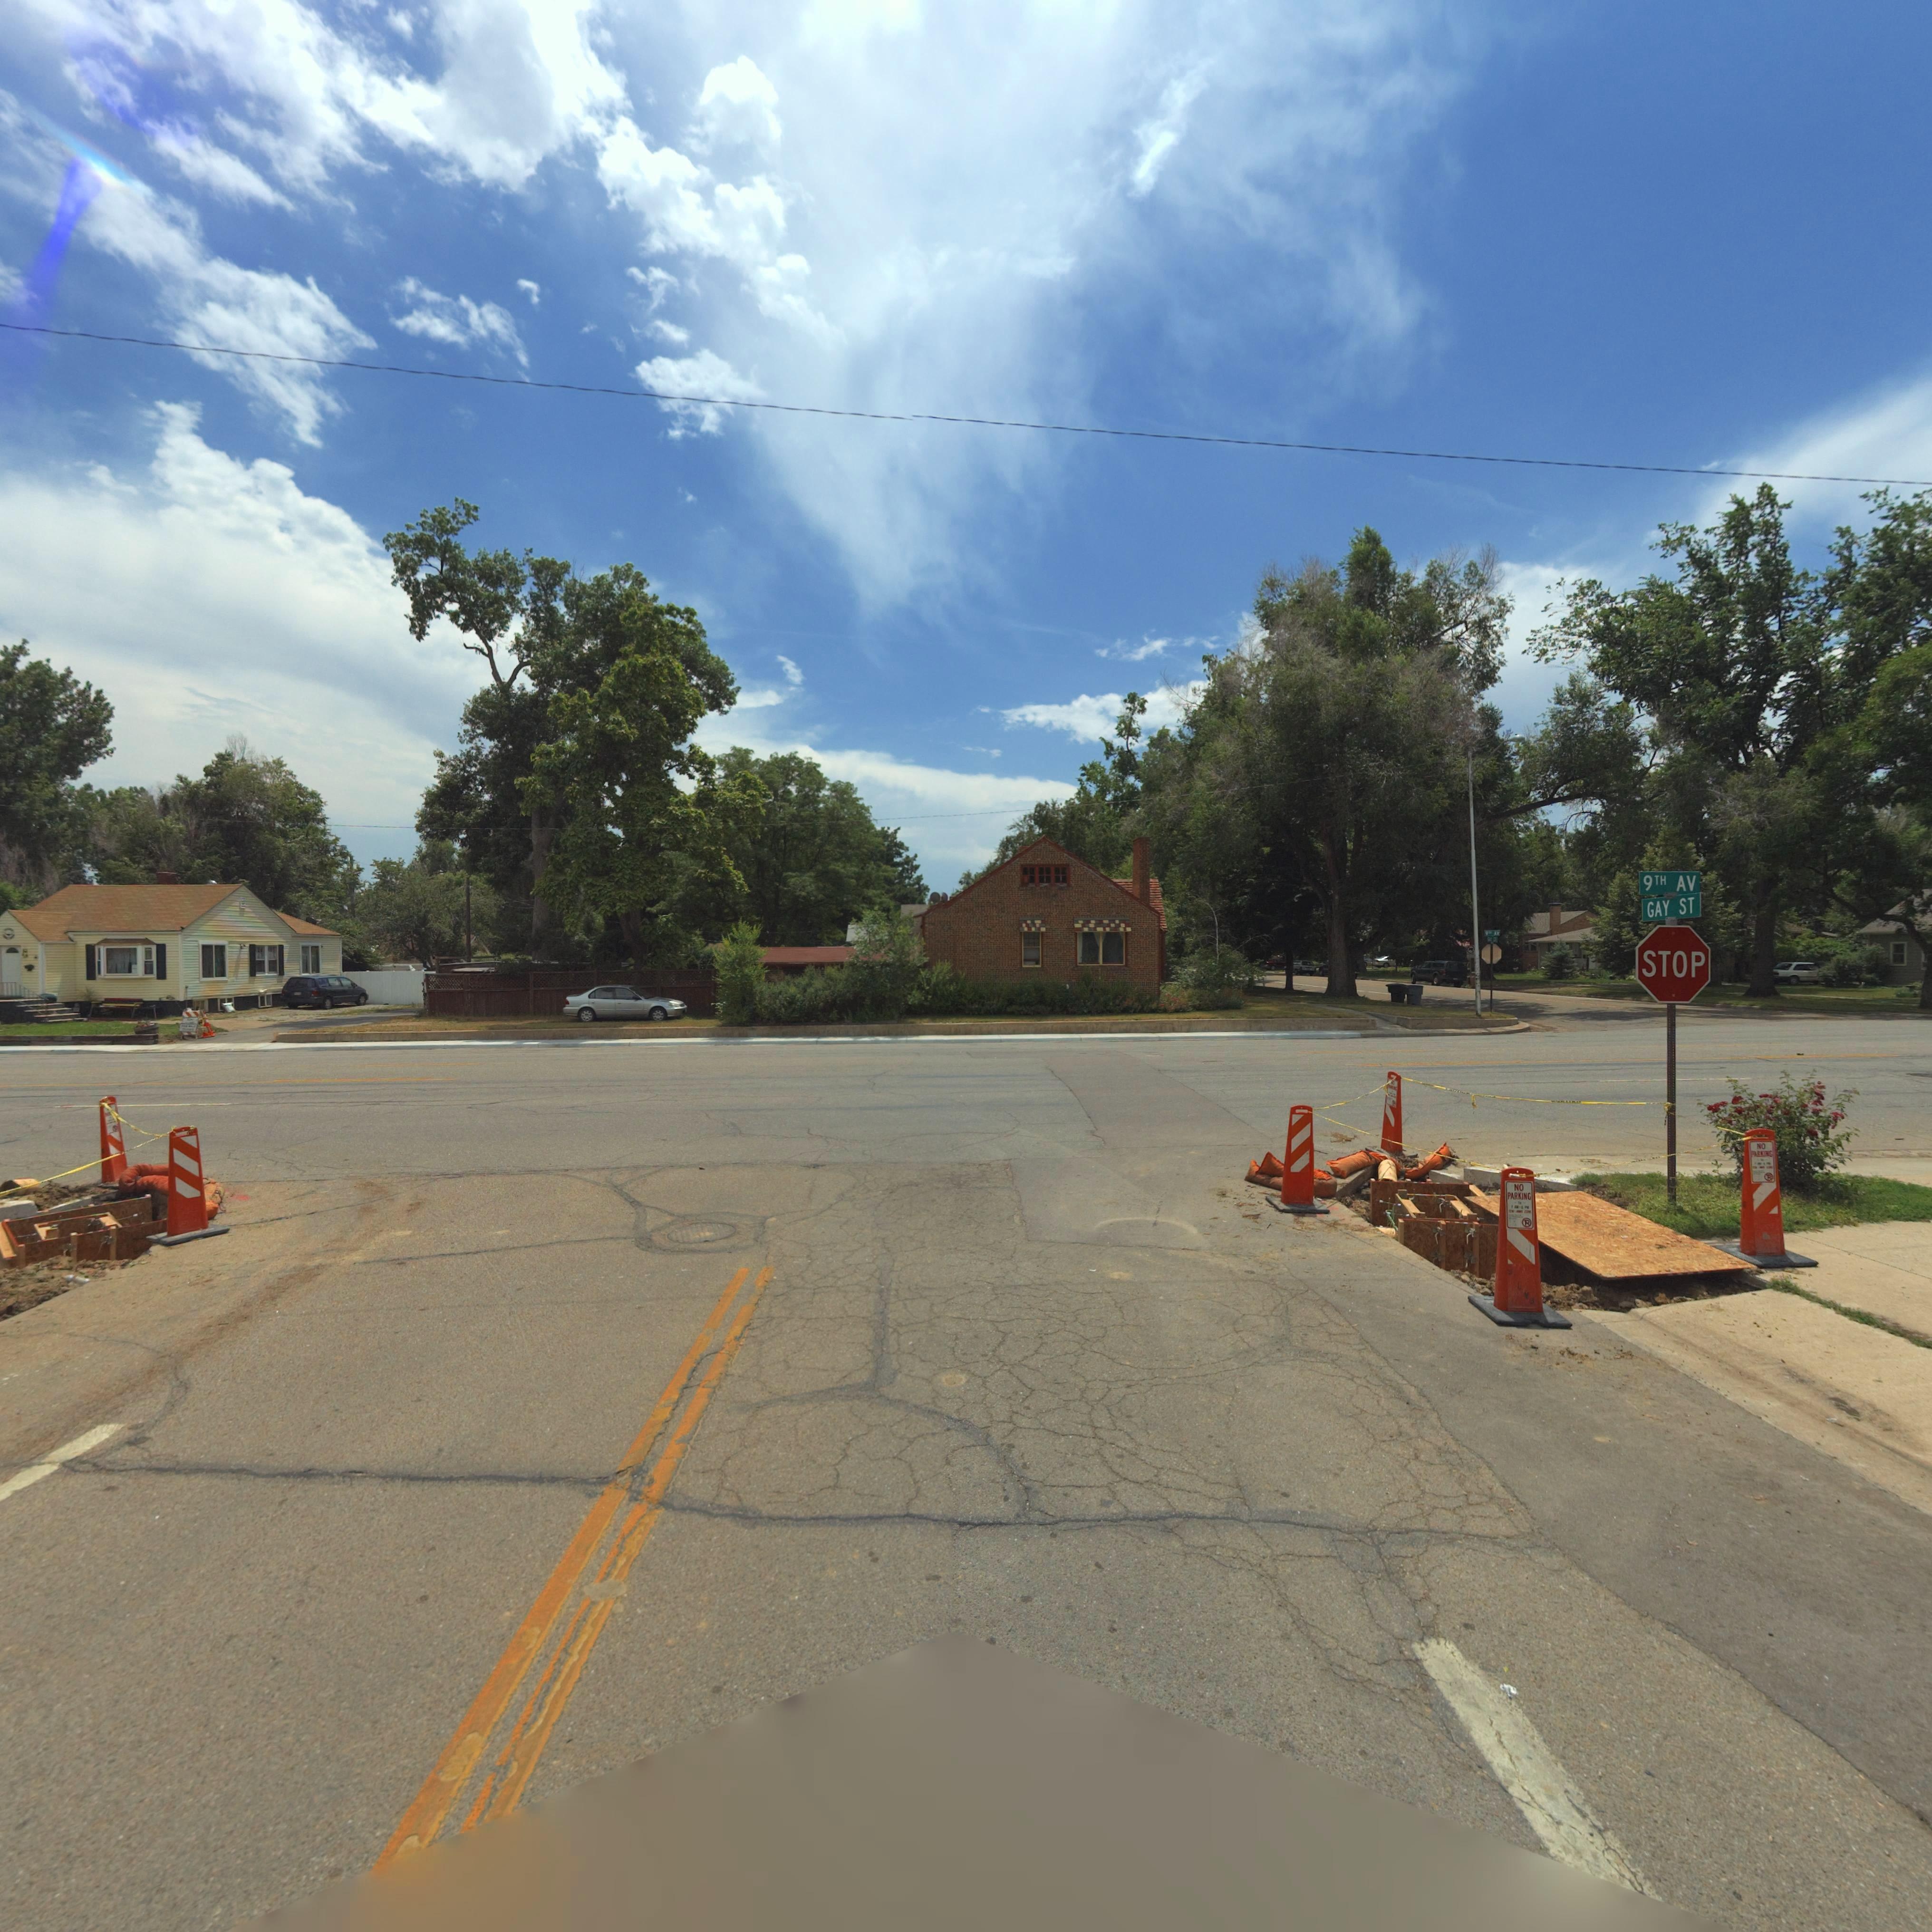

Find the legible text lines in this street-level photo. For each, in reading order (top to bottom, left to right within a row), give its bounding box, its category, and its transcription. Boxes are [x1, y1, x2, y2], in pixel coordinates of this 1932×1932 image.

[1642, 874, 1697, 892] StreetName: 9TH AV
[1646, 896, 1695, 918] StreetName: GAY ST
[1487, 937, 1497, 942] StreetName: G** ST
[1485, 930, 1500, 936] StreetName: 9** AV